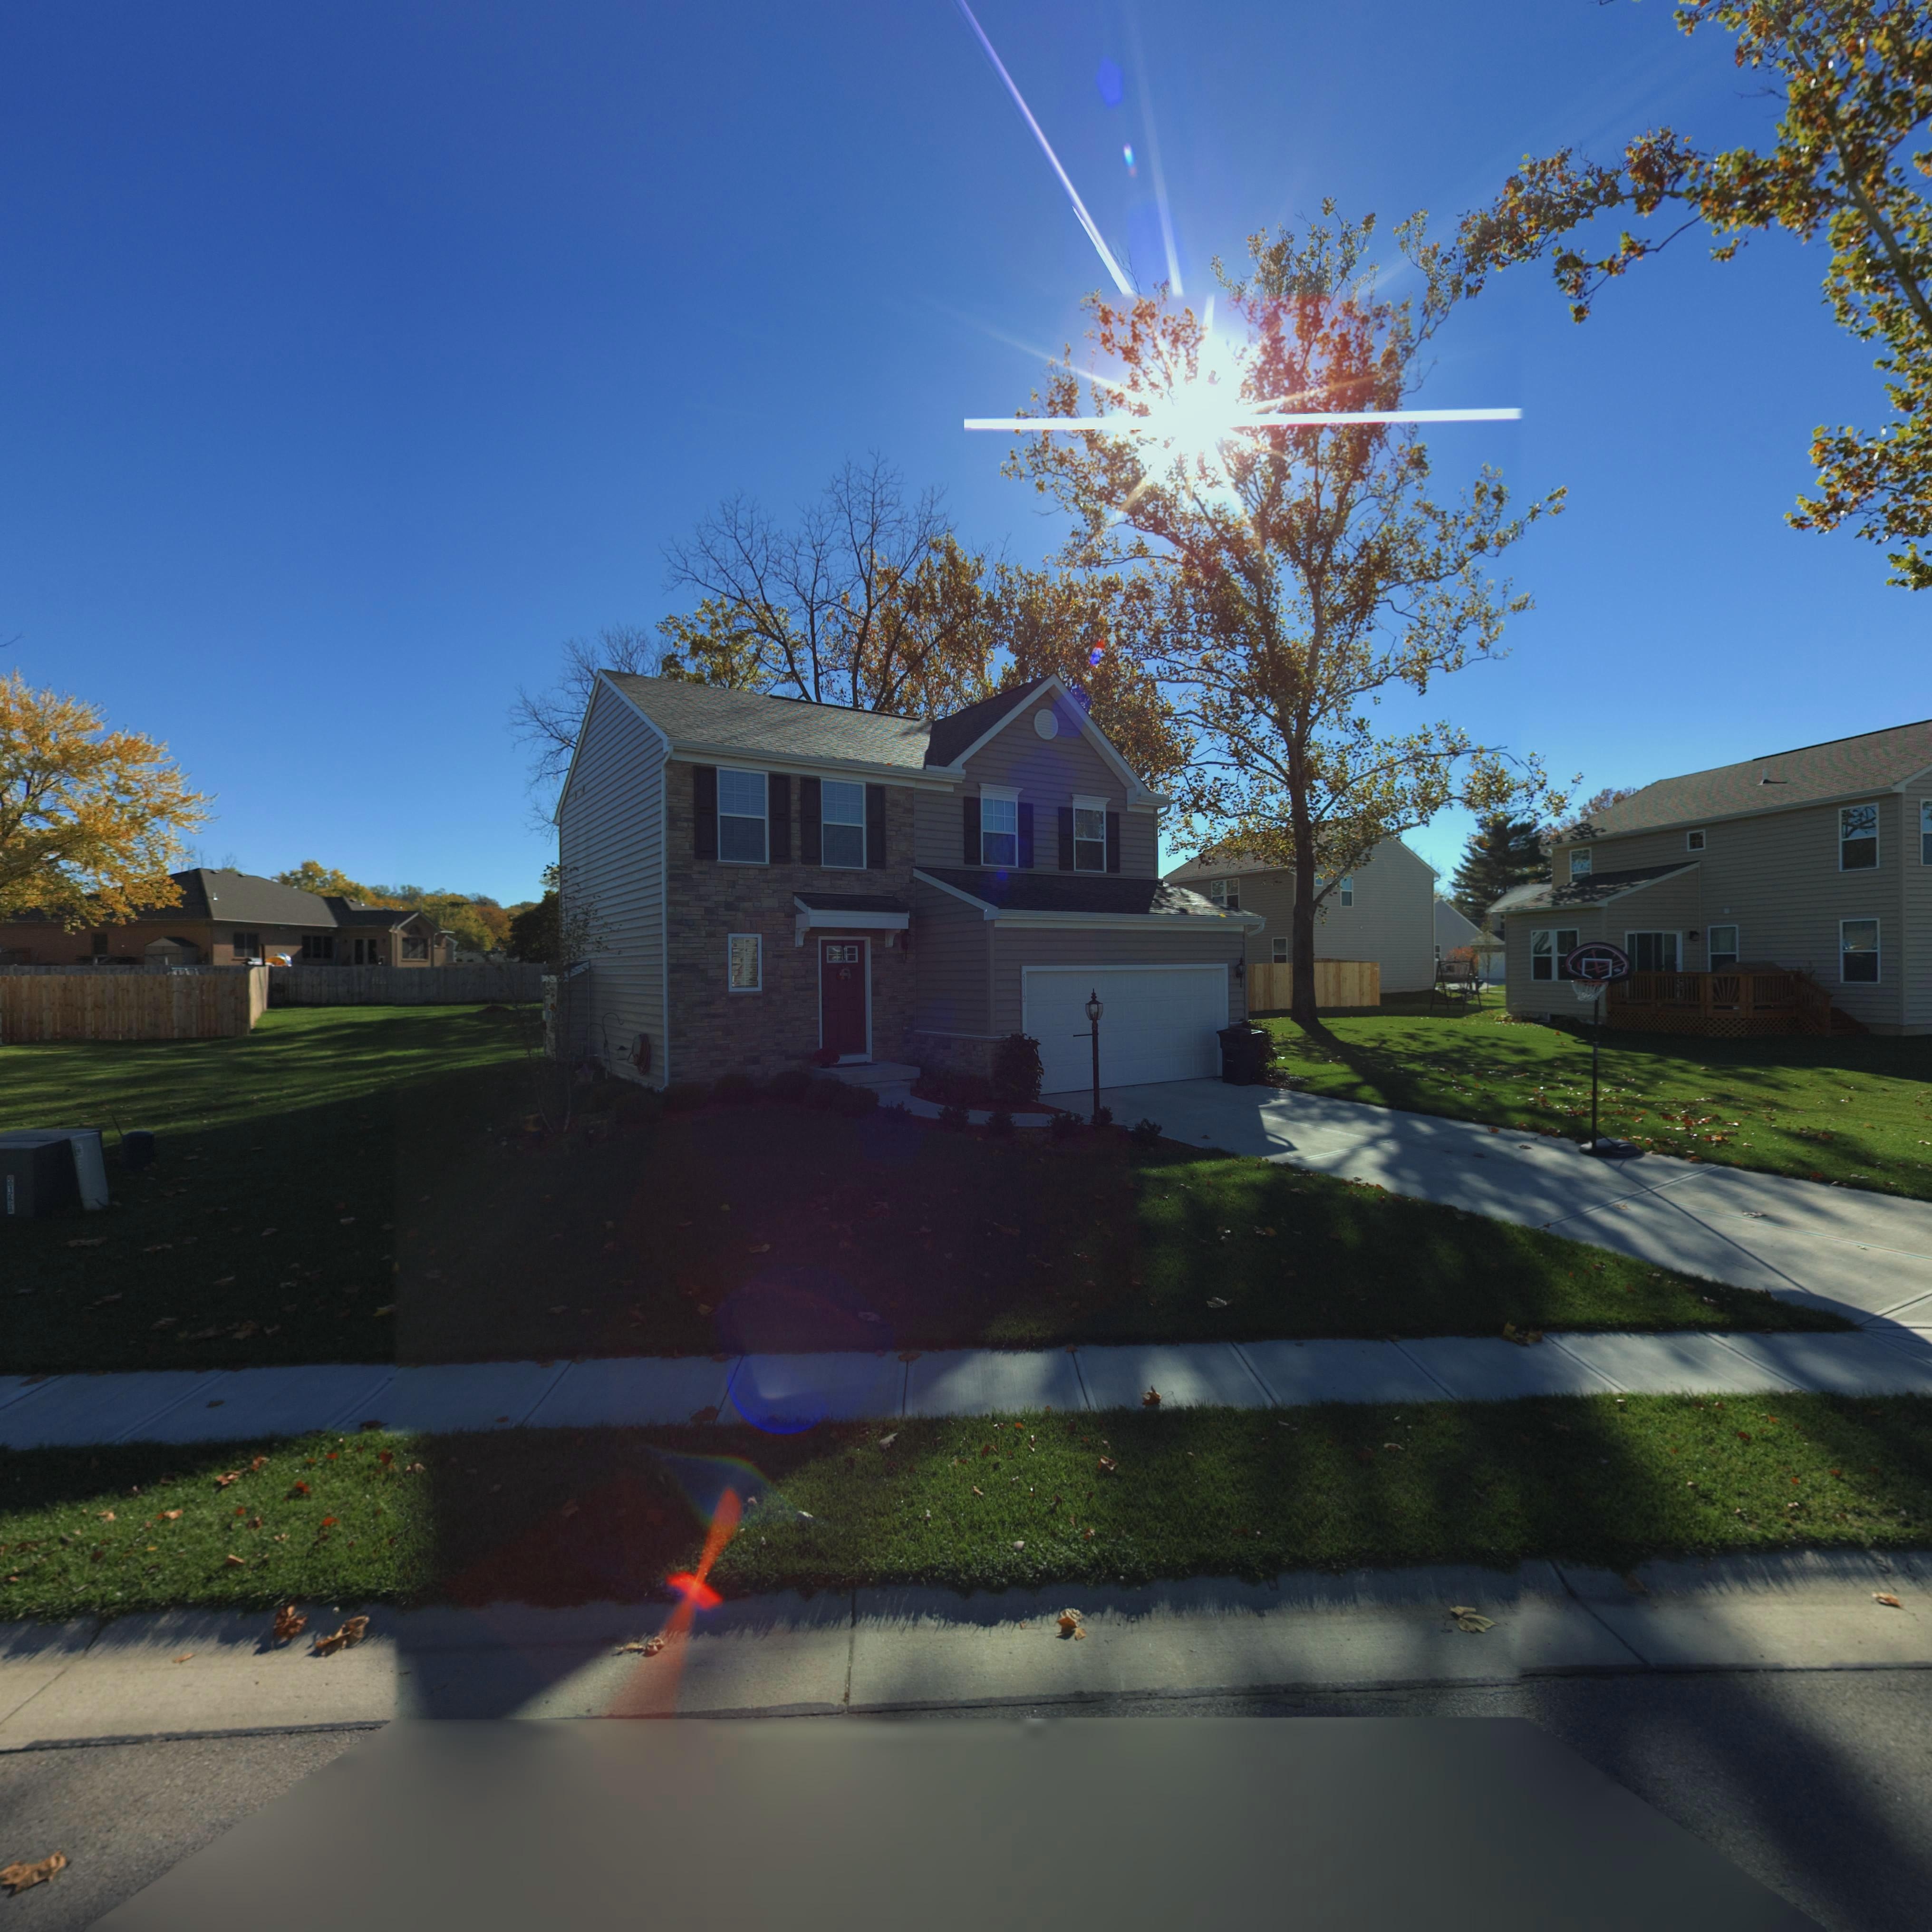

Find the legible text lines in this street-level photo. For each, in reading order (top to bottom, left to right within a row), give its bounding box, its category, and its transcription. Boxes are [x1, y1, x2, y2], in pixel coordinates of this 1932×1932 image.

[1022, 973, 1027, 1003] StreetNumber: 5112